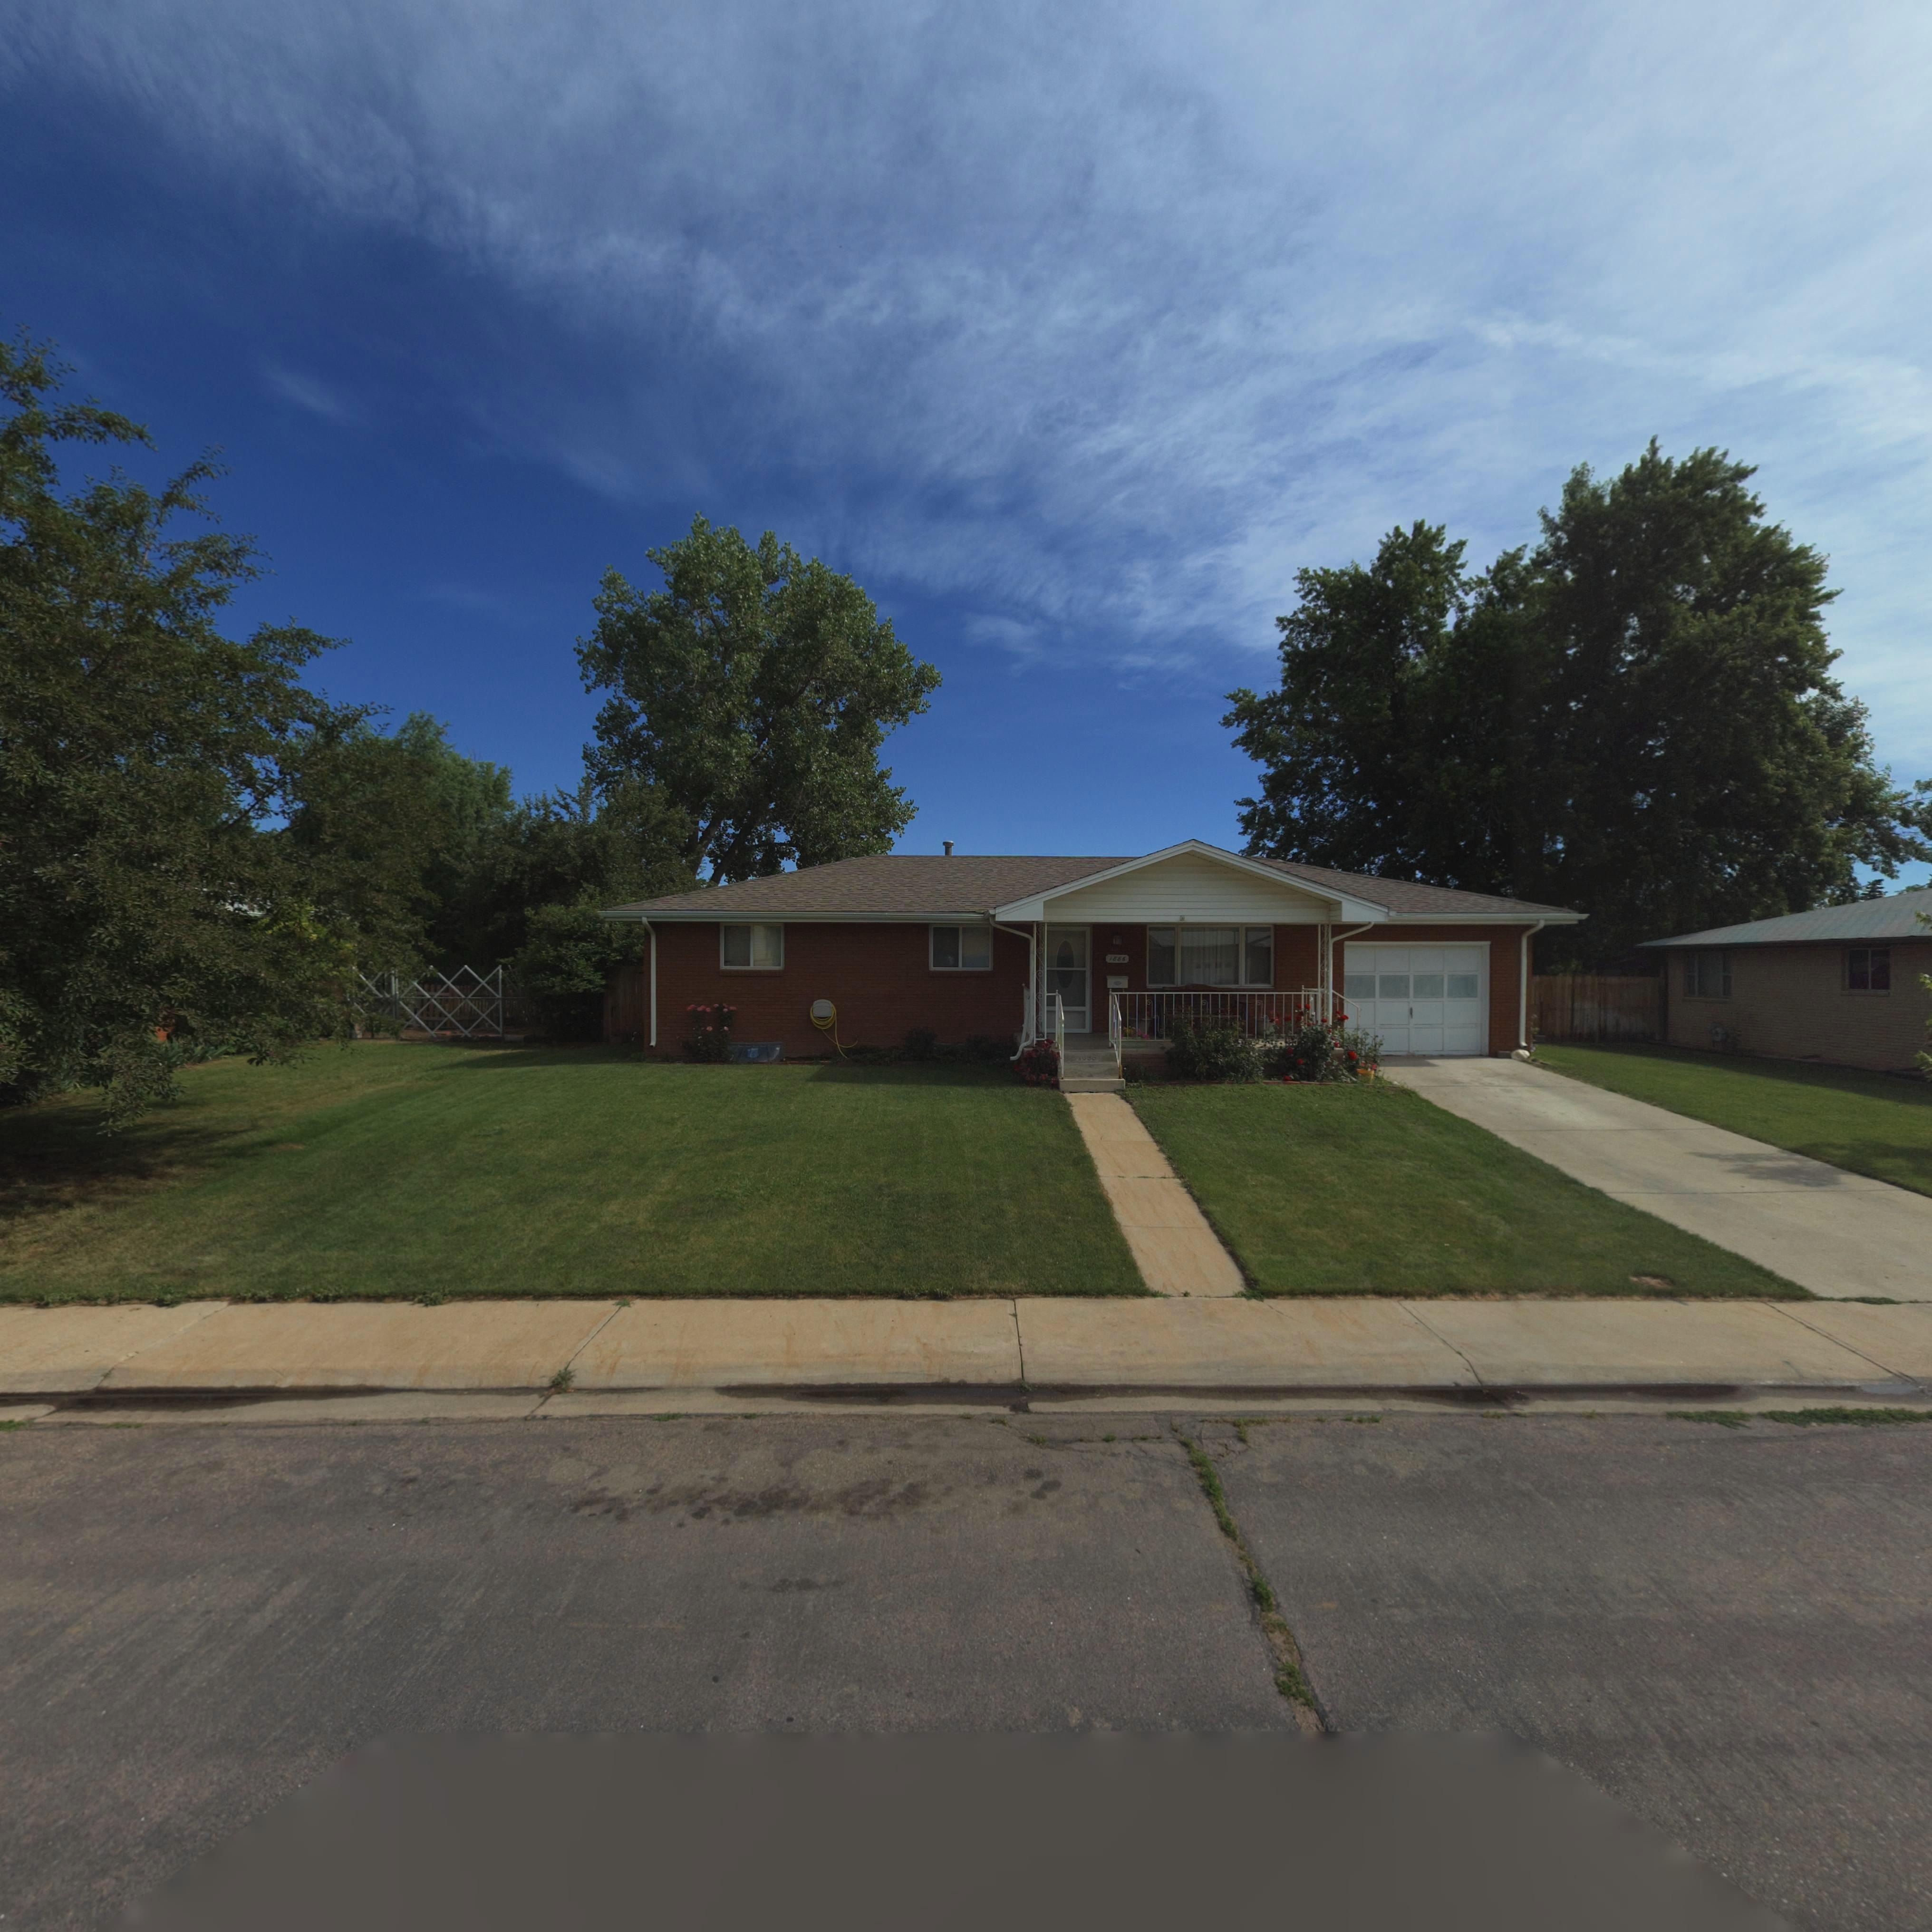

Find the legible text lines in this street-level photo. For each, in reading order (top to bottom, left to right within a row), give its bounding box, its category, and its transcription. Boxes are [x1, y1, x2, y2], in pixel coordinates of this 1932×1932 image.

[1108, 956, 1126, 961] StreetNumber: 1886